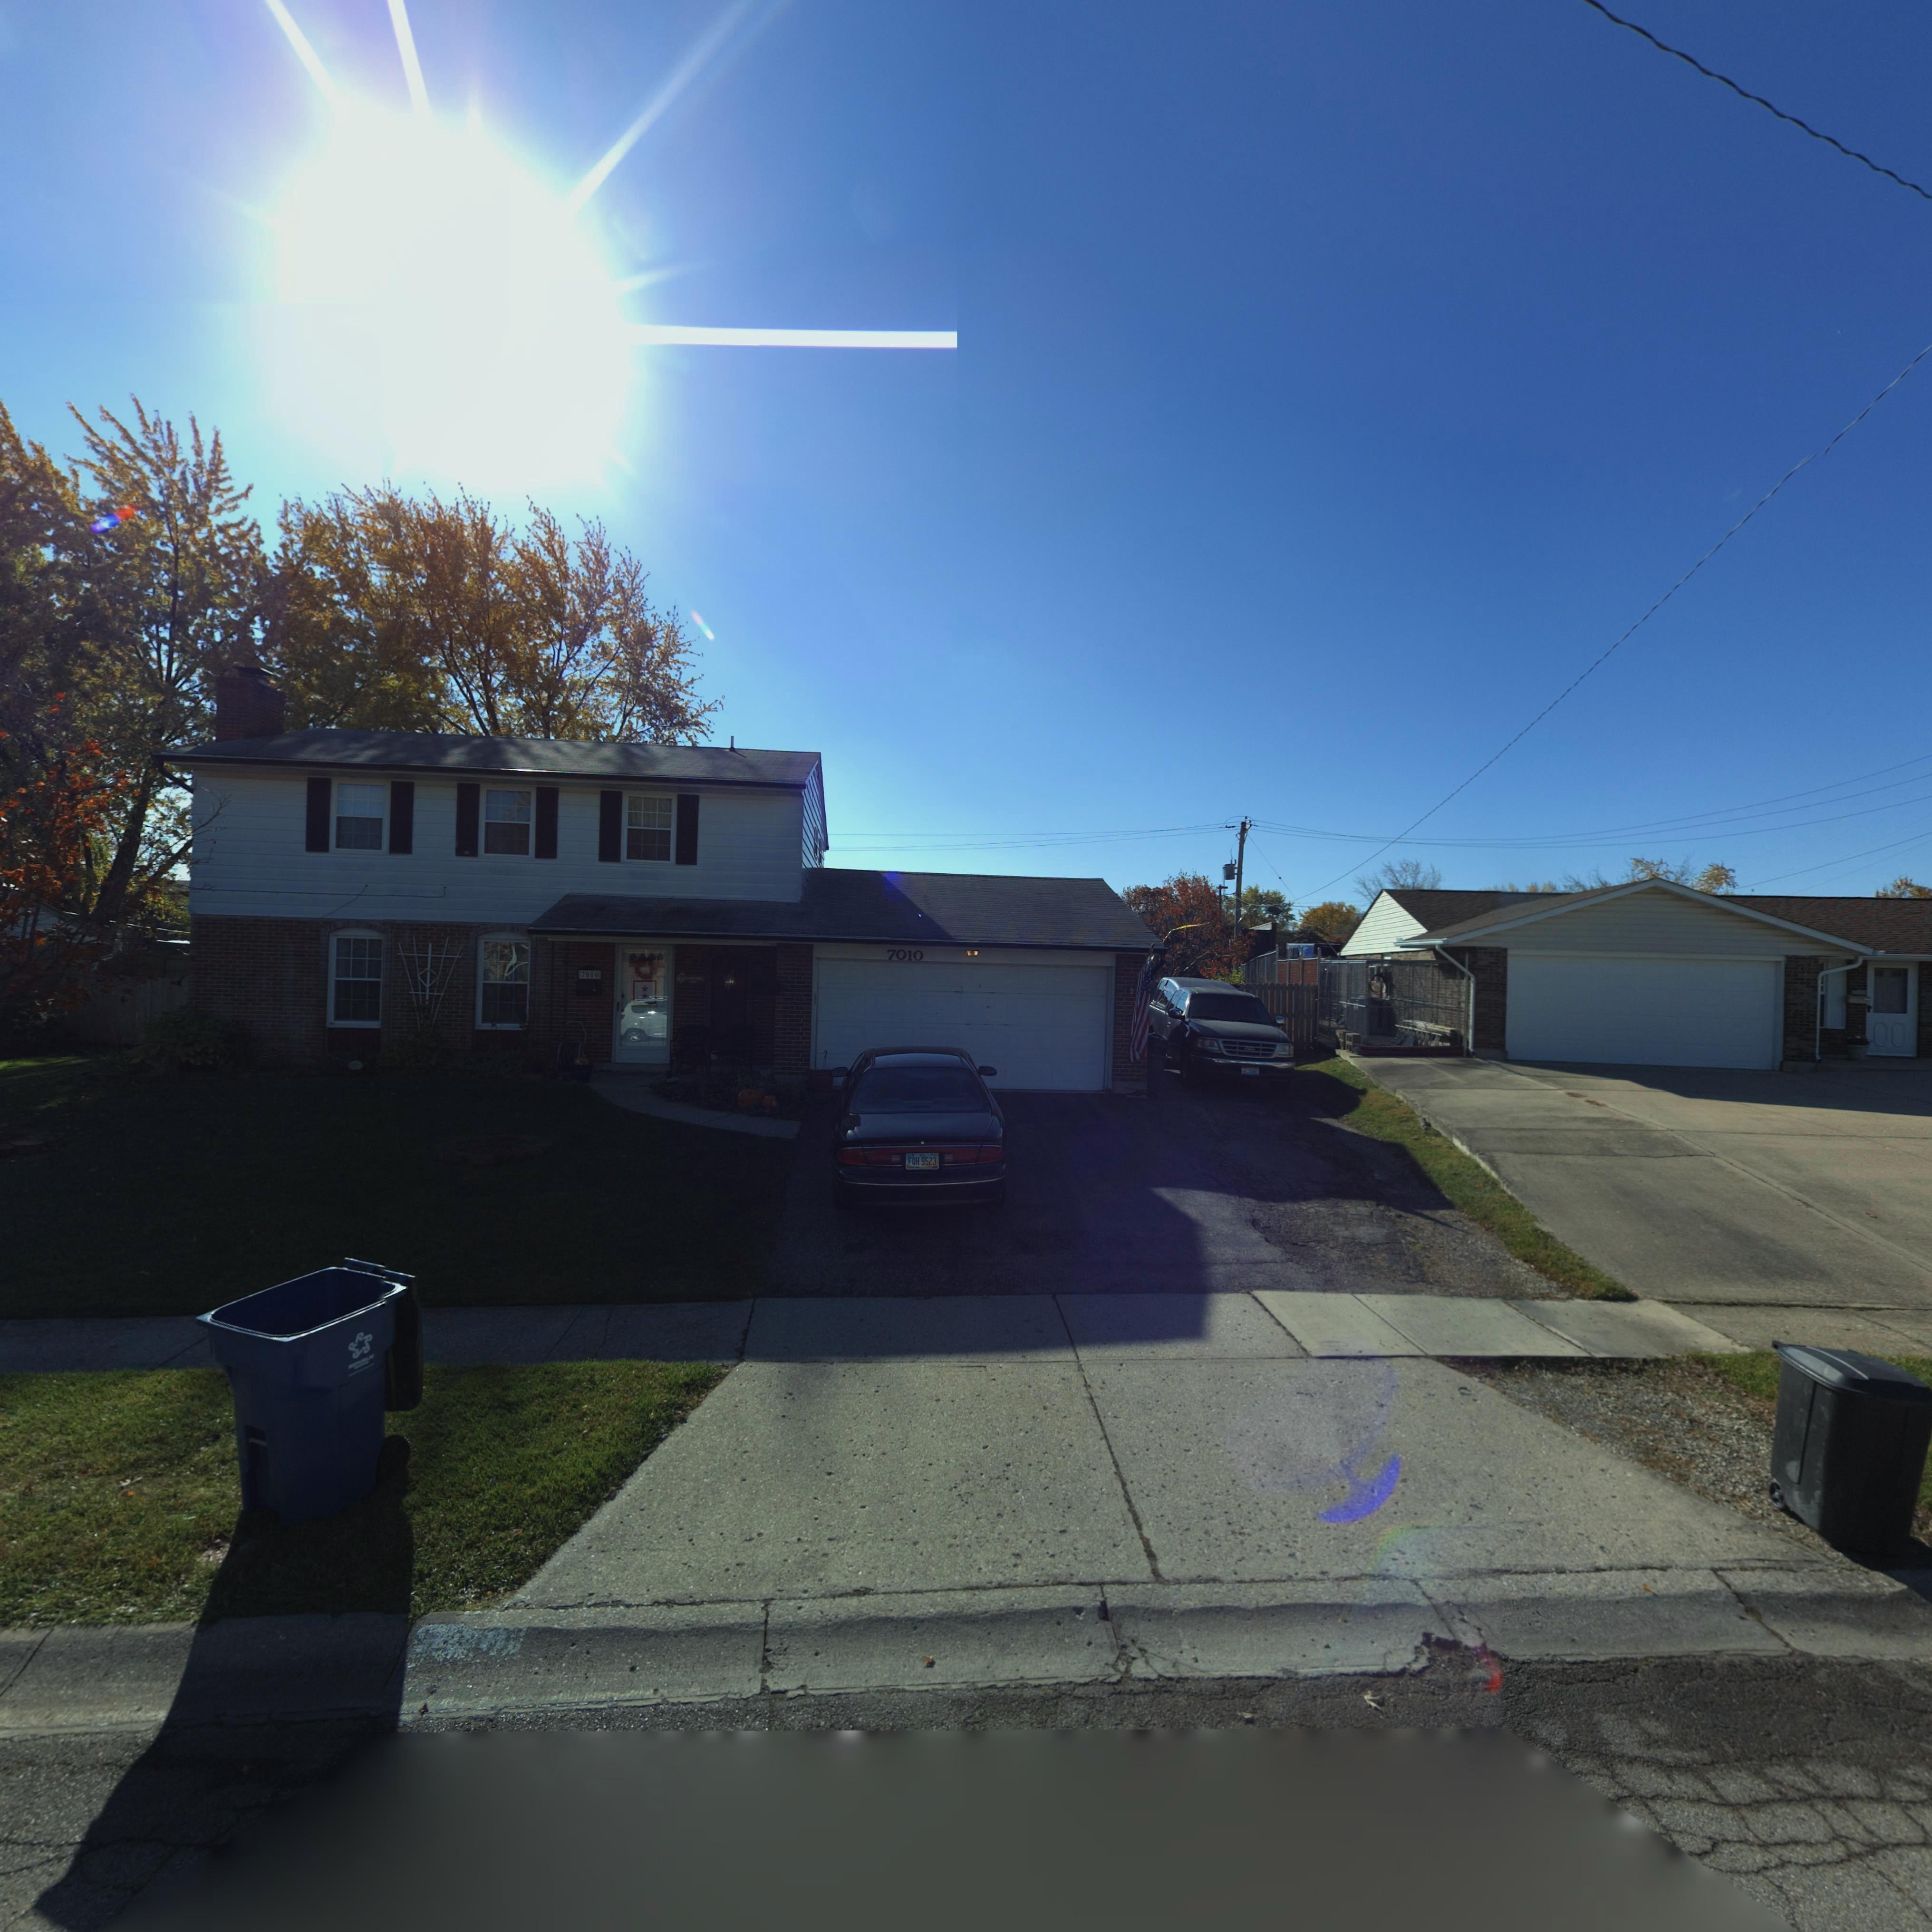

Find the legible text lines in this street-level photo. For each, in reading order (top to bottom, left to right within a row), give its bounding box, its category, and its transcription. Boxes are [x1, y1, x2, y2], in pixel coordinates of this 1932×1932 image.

[887, 949, 924, 961] StreetNumber: 7010
[580, 971, 599, 978] StreetNumber: 7010